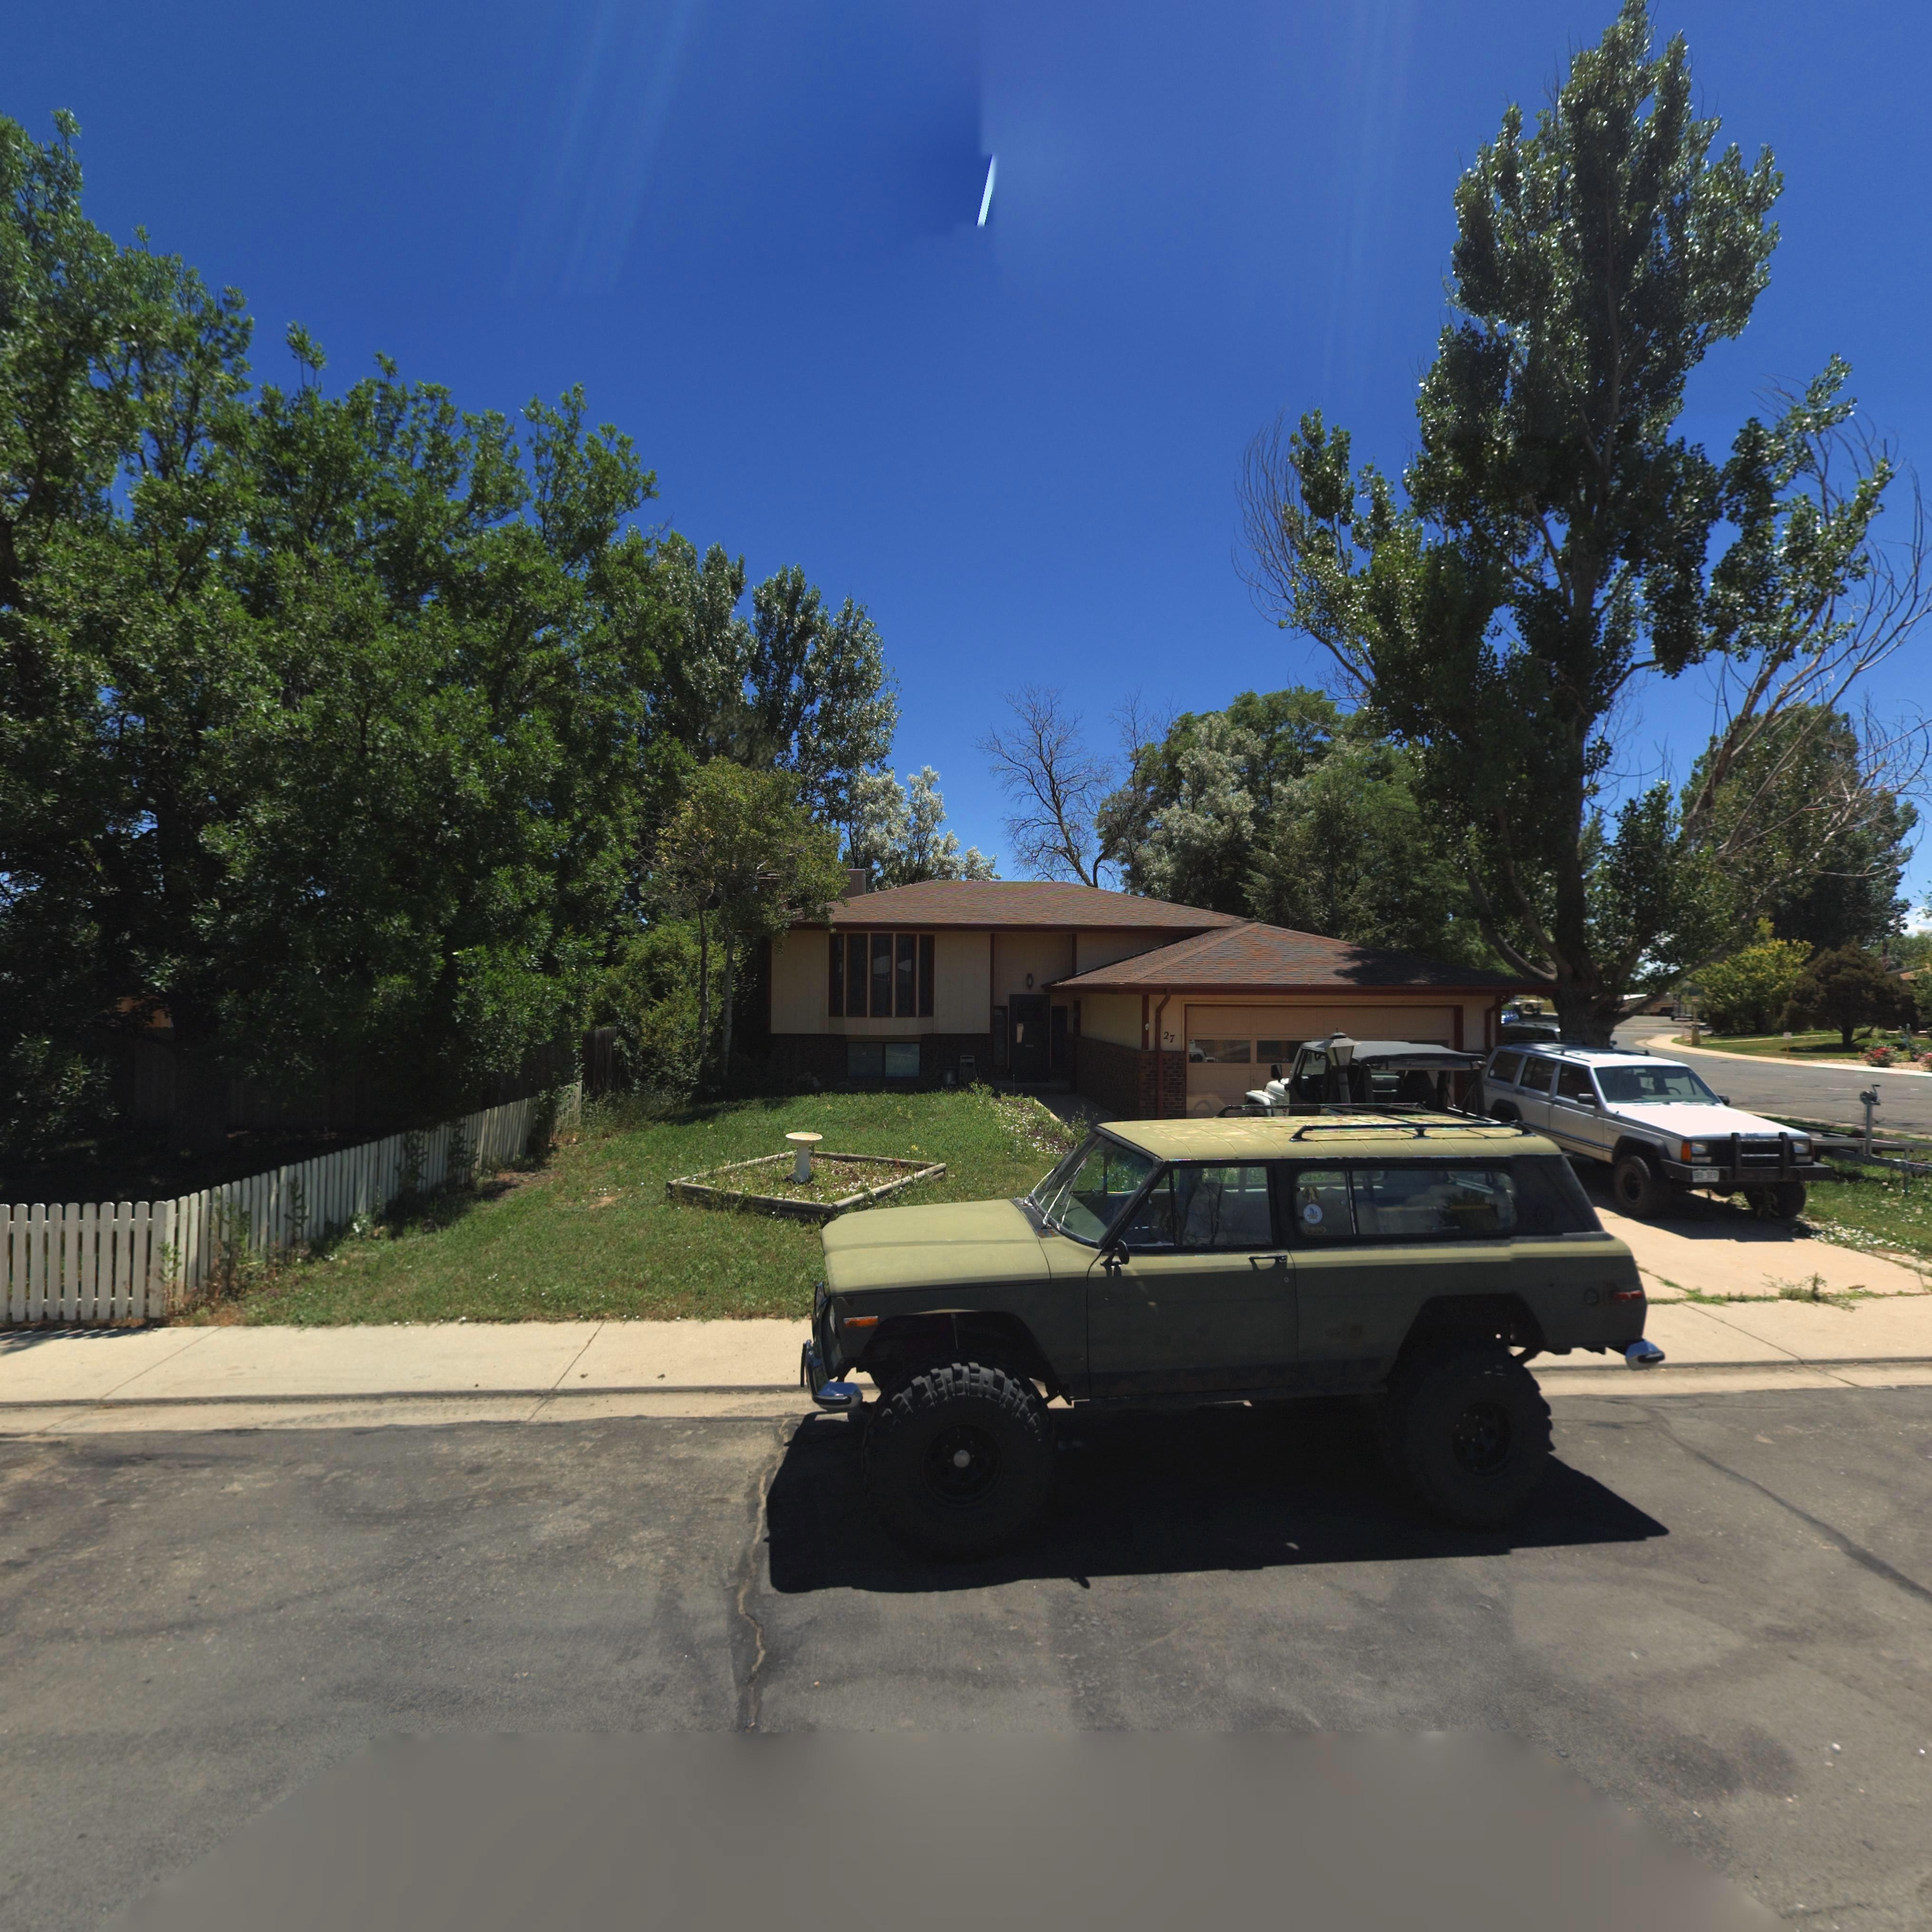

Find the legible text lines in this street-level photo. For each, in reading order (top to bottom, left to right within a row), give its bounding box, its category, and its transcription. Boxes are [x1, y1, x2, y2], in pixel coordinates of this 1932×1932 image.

[1163, 1031, 1175, 1043] BusinessName: 27